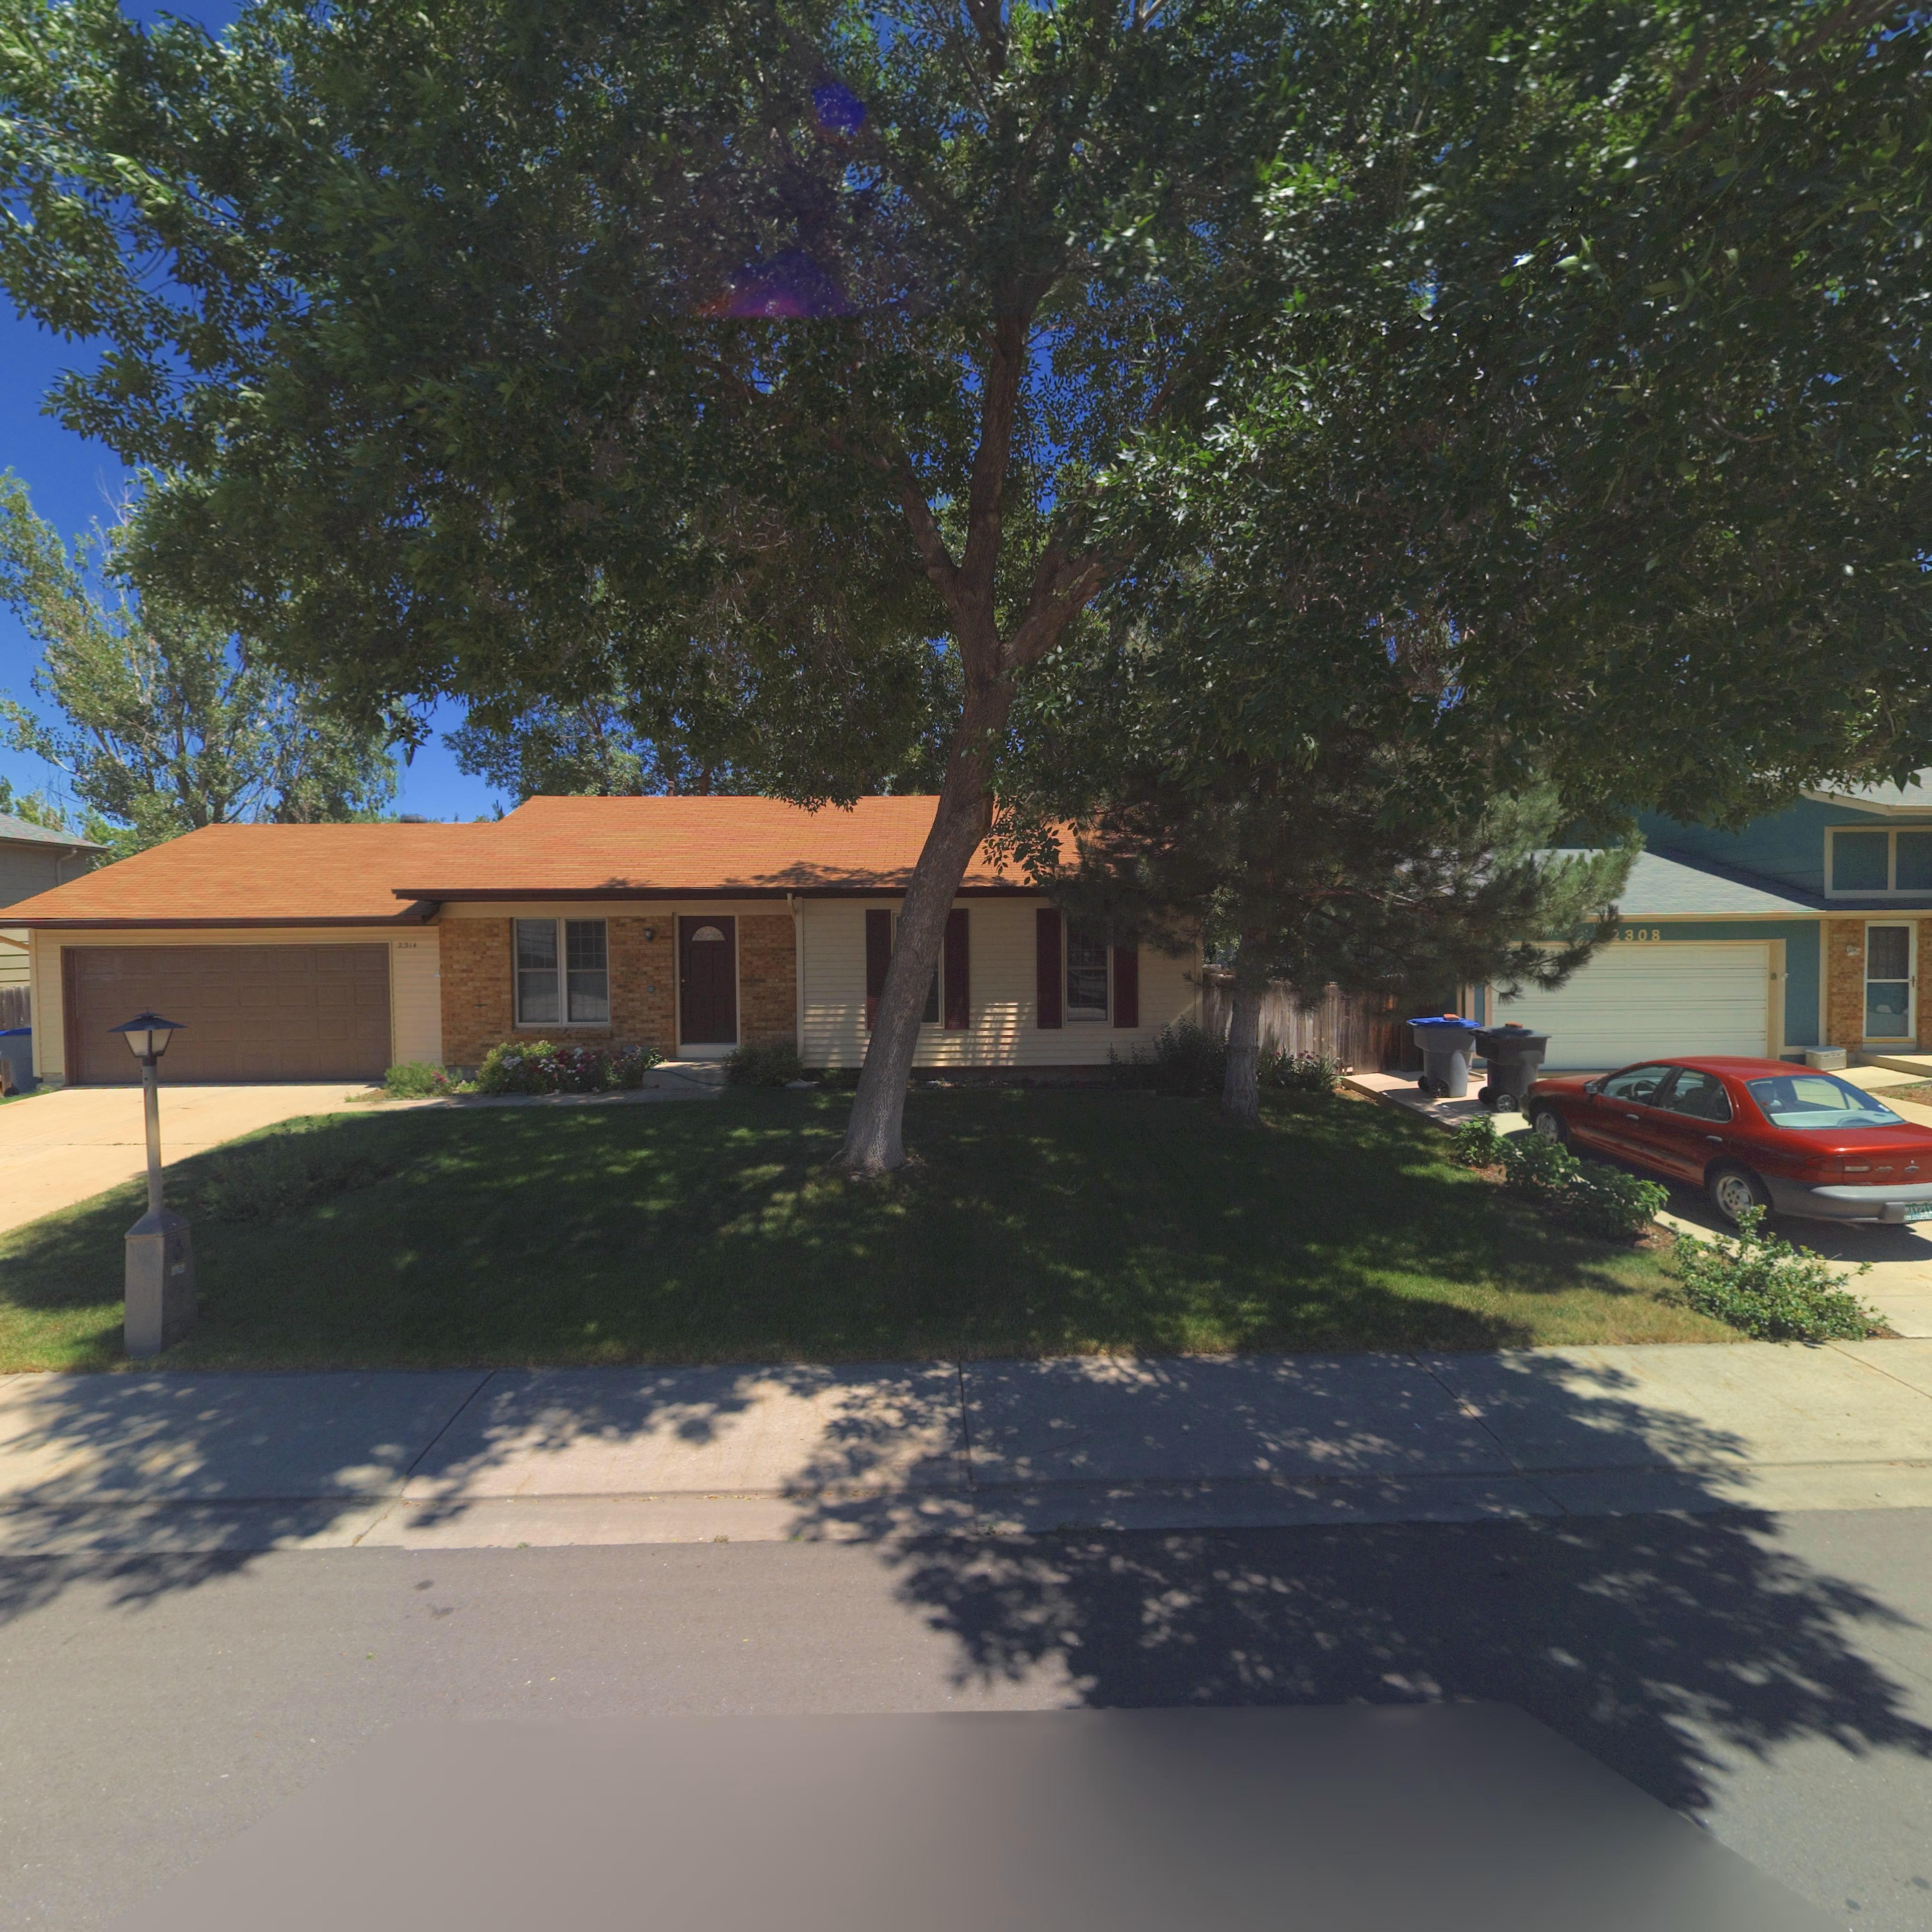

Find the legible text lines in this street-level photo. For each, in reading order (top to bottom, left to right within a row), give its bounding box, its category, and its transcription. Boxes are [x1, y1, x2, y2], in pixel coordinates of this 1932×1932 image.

[1623, 928, 1661, 941] StreetNumber: 308
[396, 941, 417, 949] StreetNumber: 2314